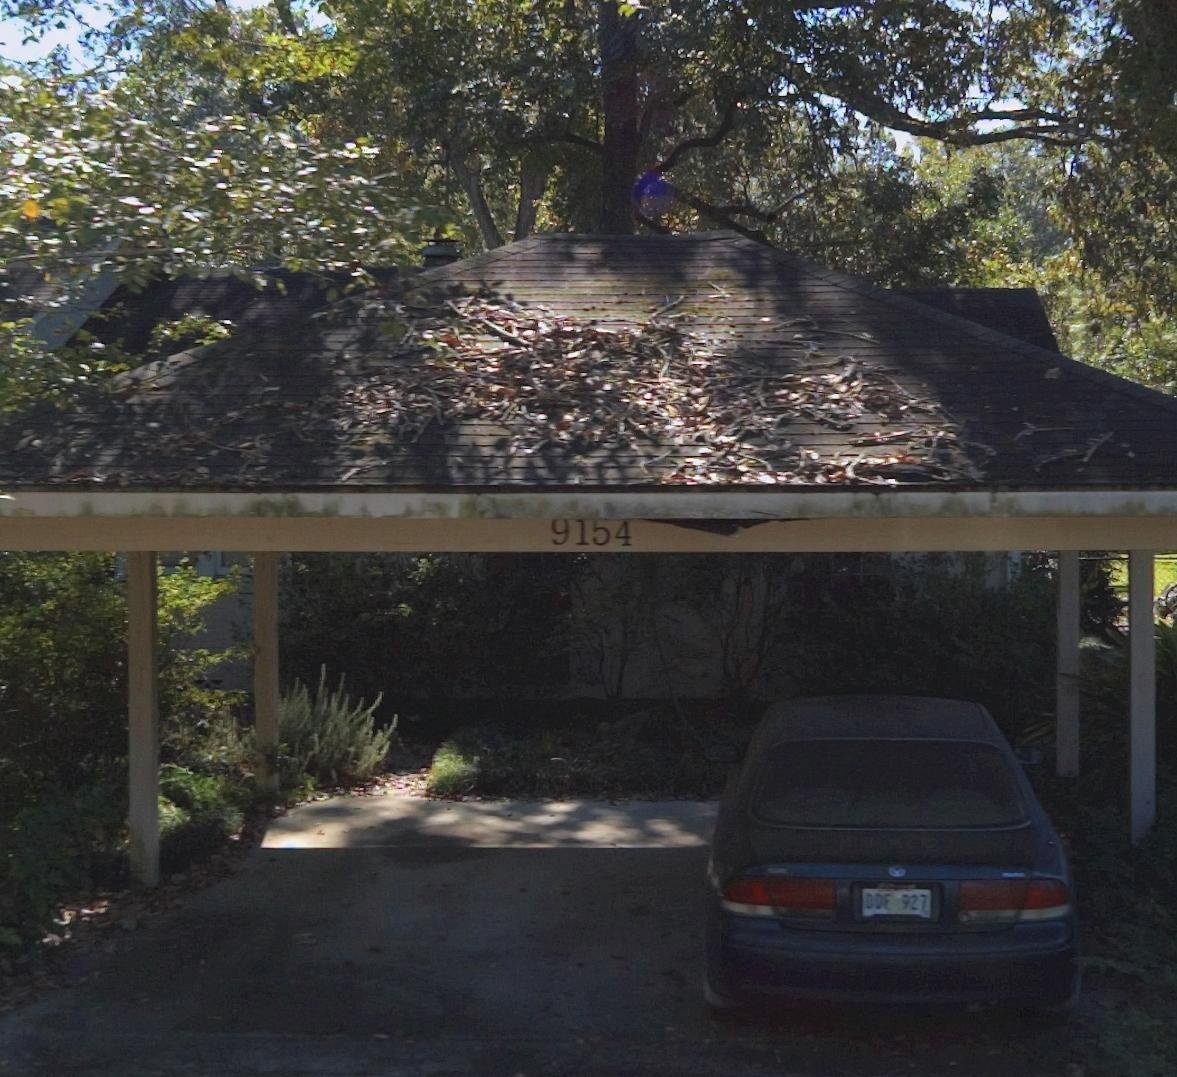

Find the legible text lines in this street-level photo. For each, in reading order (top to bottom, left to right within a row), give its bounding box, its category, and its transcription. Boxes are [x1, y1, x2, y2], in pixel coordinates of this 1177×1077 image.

[548, 515, 635, 549] StreetNumber: 9154
[863, 891, 930, 912] None: DDF 927